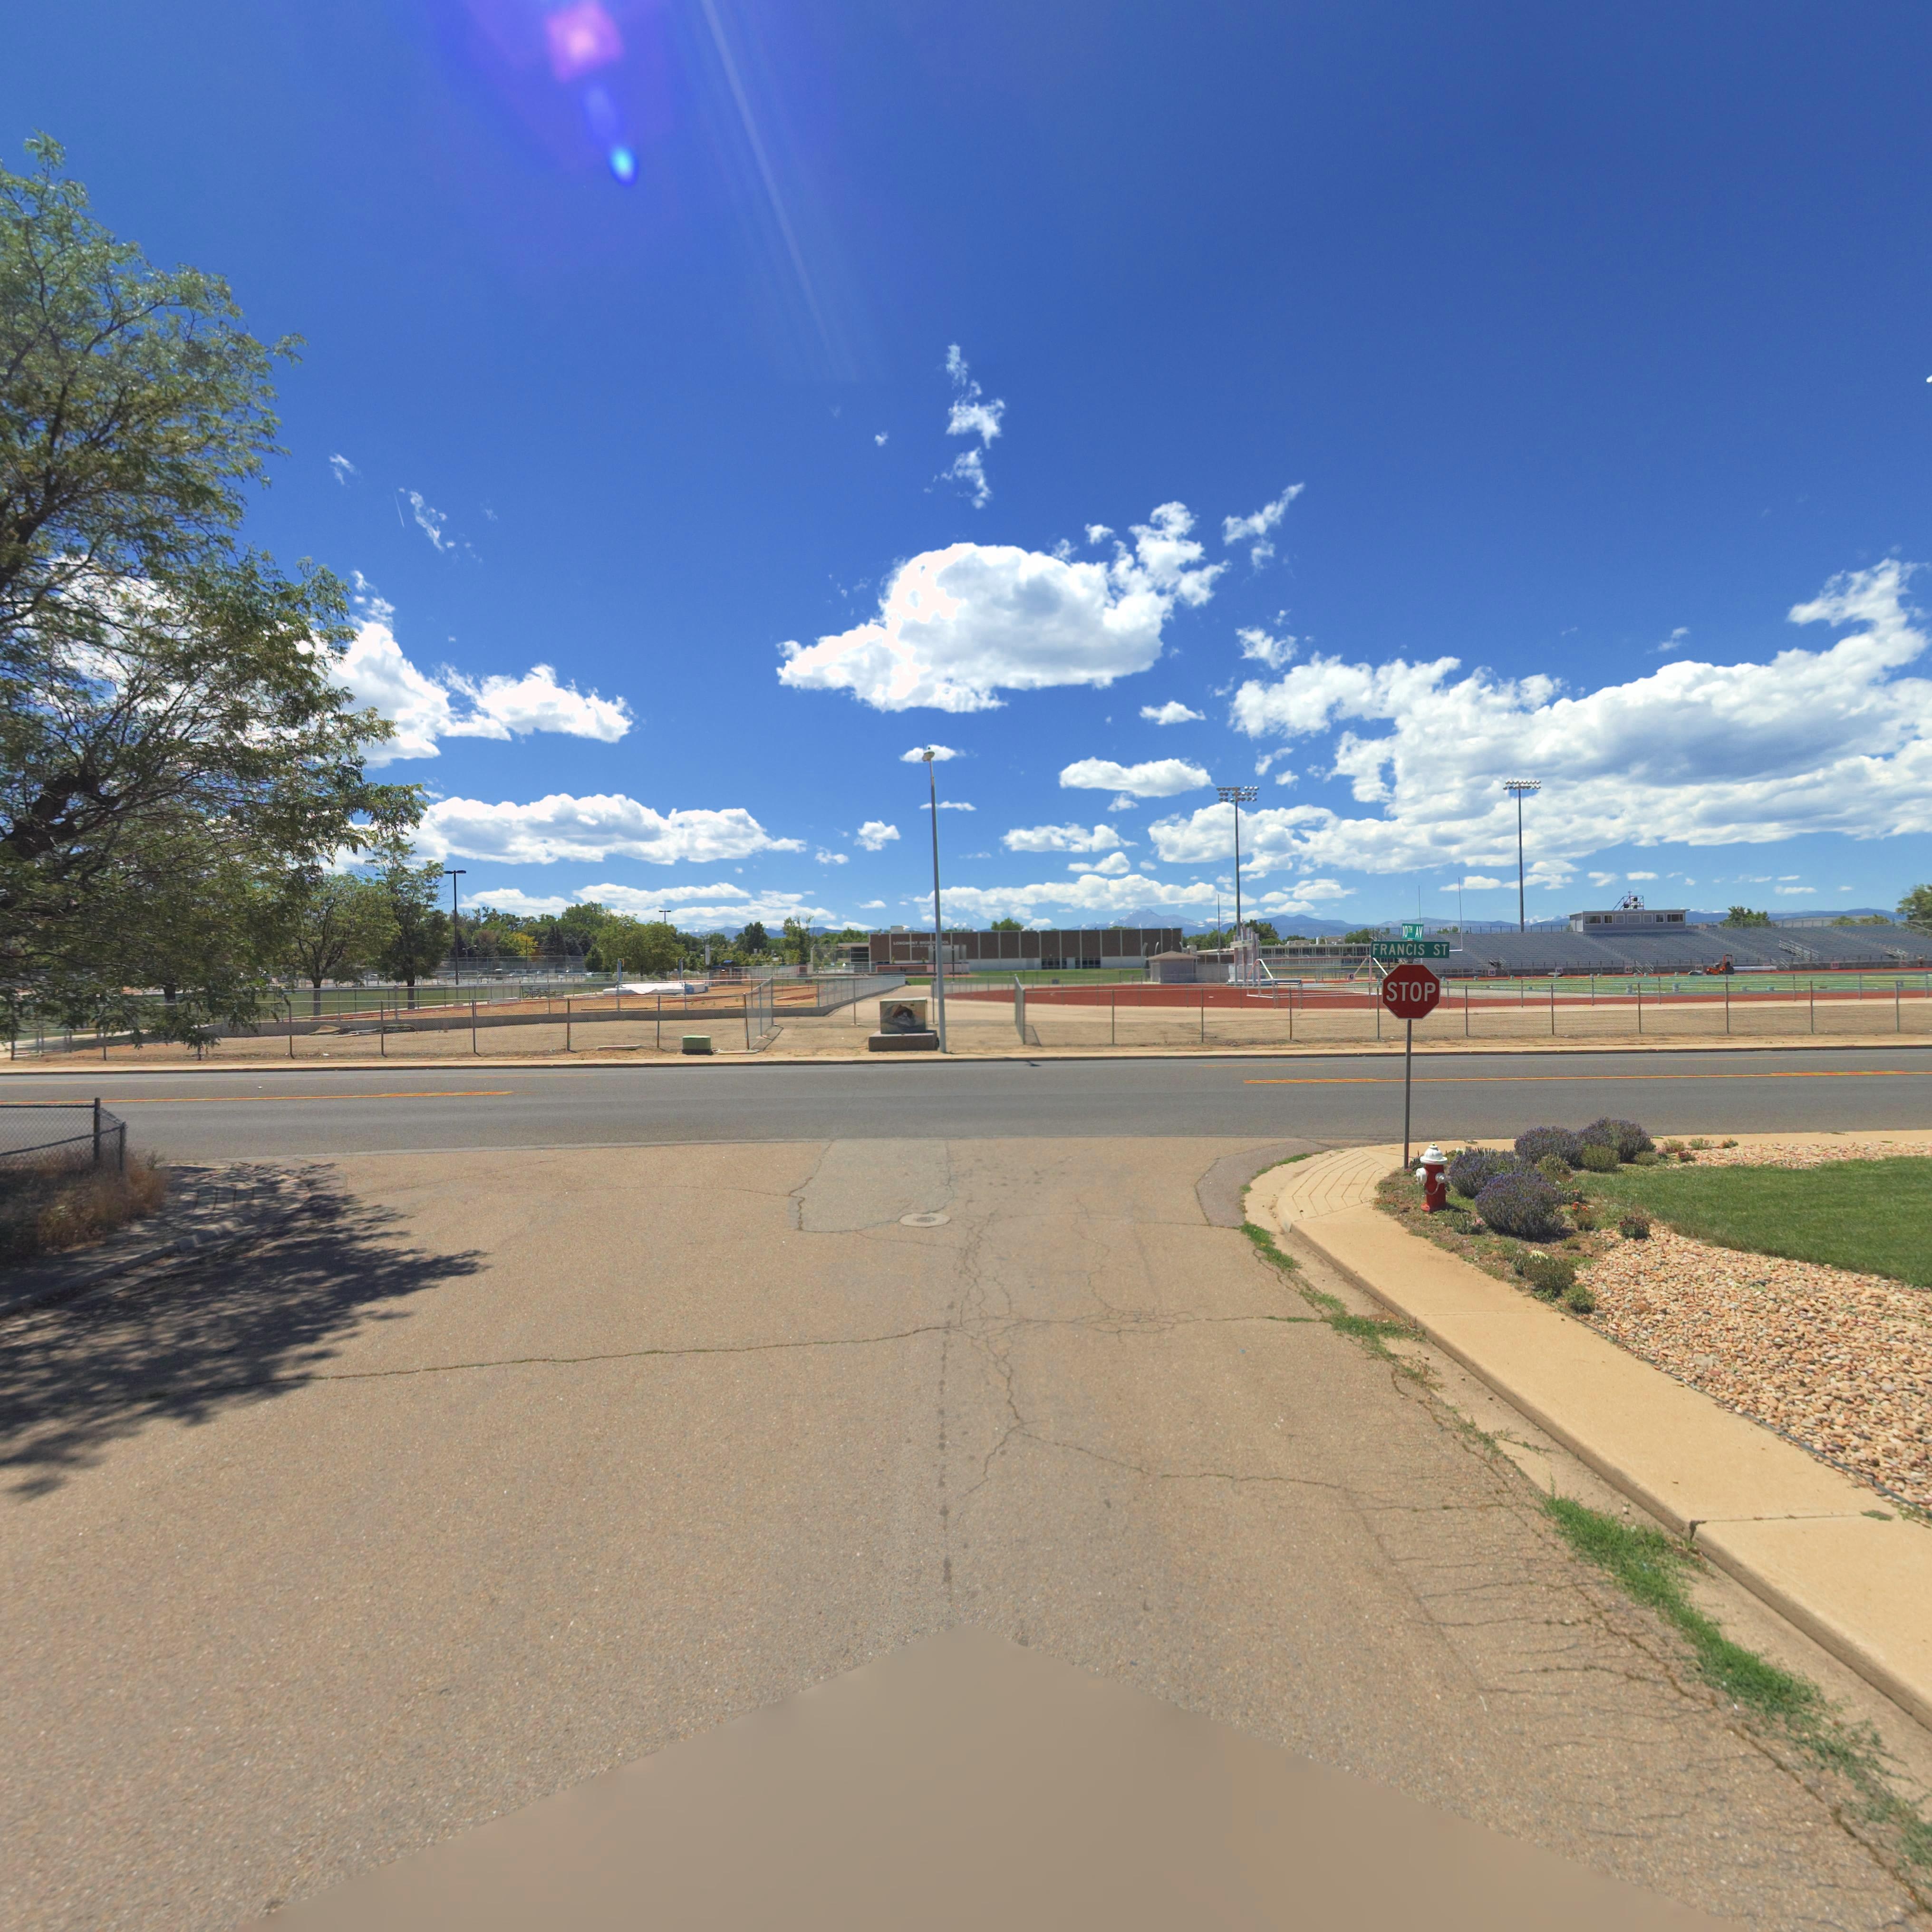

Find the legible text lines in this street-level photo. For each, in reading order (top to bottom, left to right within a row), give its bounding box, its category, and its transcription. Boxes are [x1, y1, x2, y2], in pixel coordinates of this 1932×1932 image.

[1402, 925, 1423, 938] StreetName: 10TH AV
[892, 940, 949, 945] BusinessName: LONGM*NT HIGH S***OL
[1372, 943, 1448, 955] StreetName: FRANCIS ST